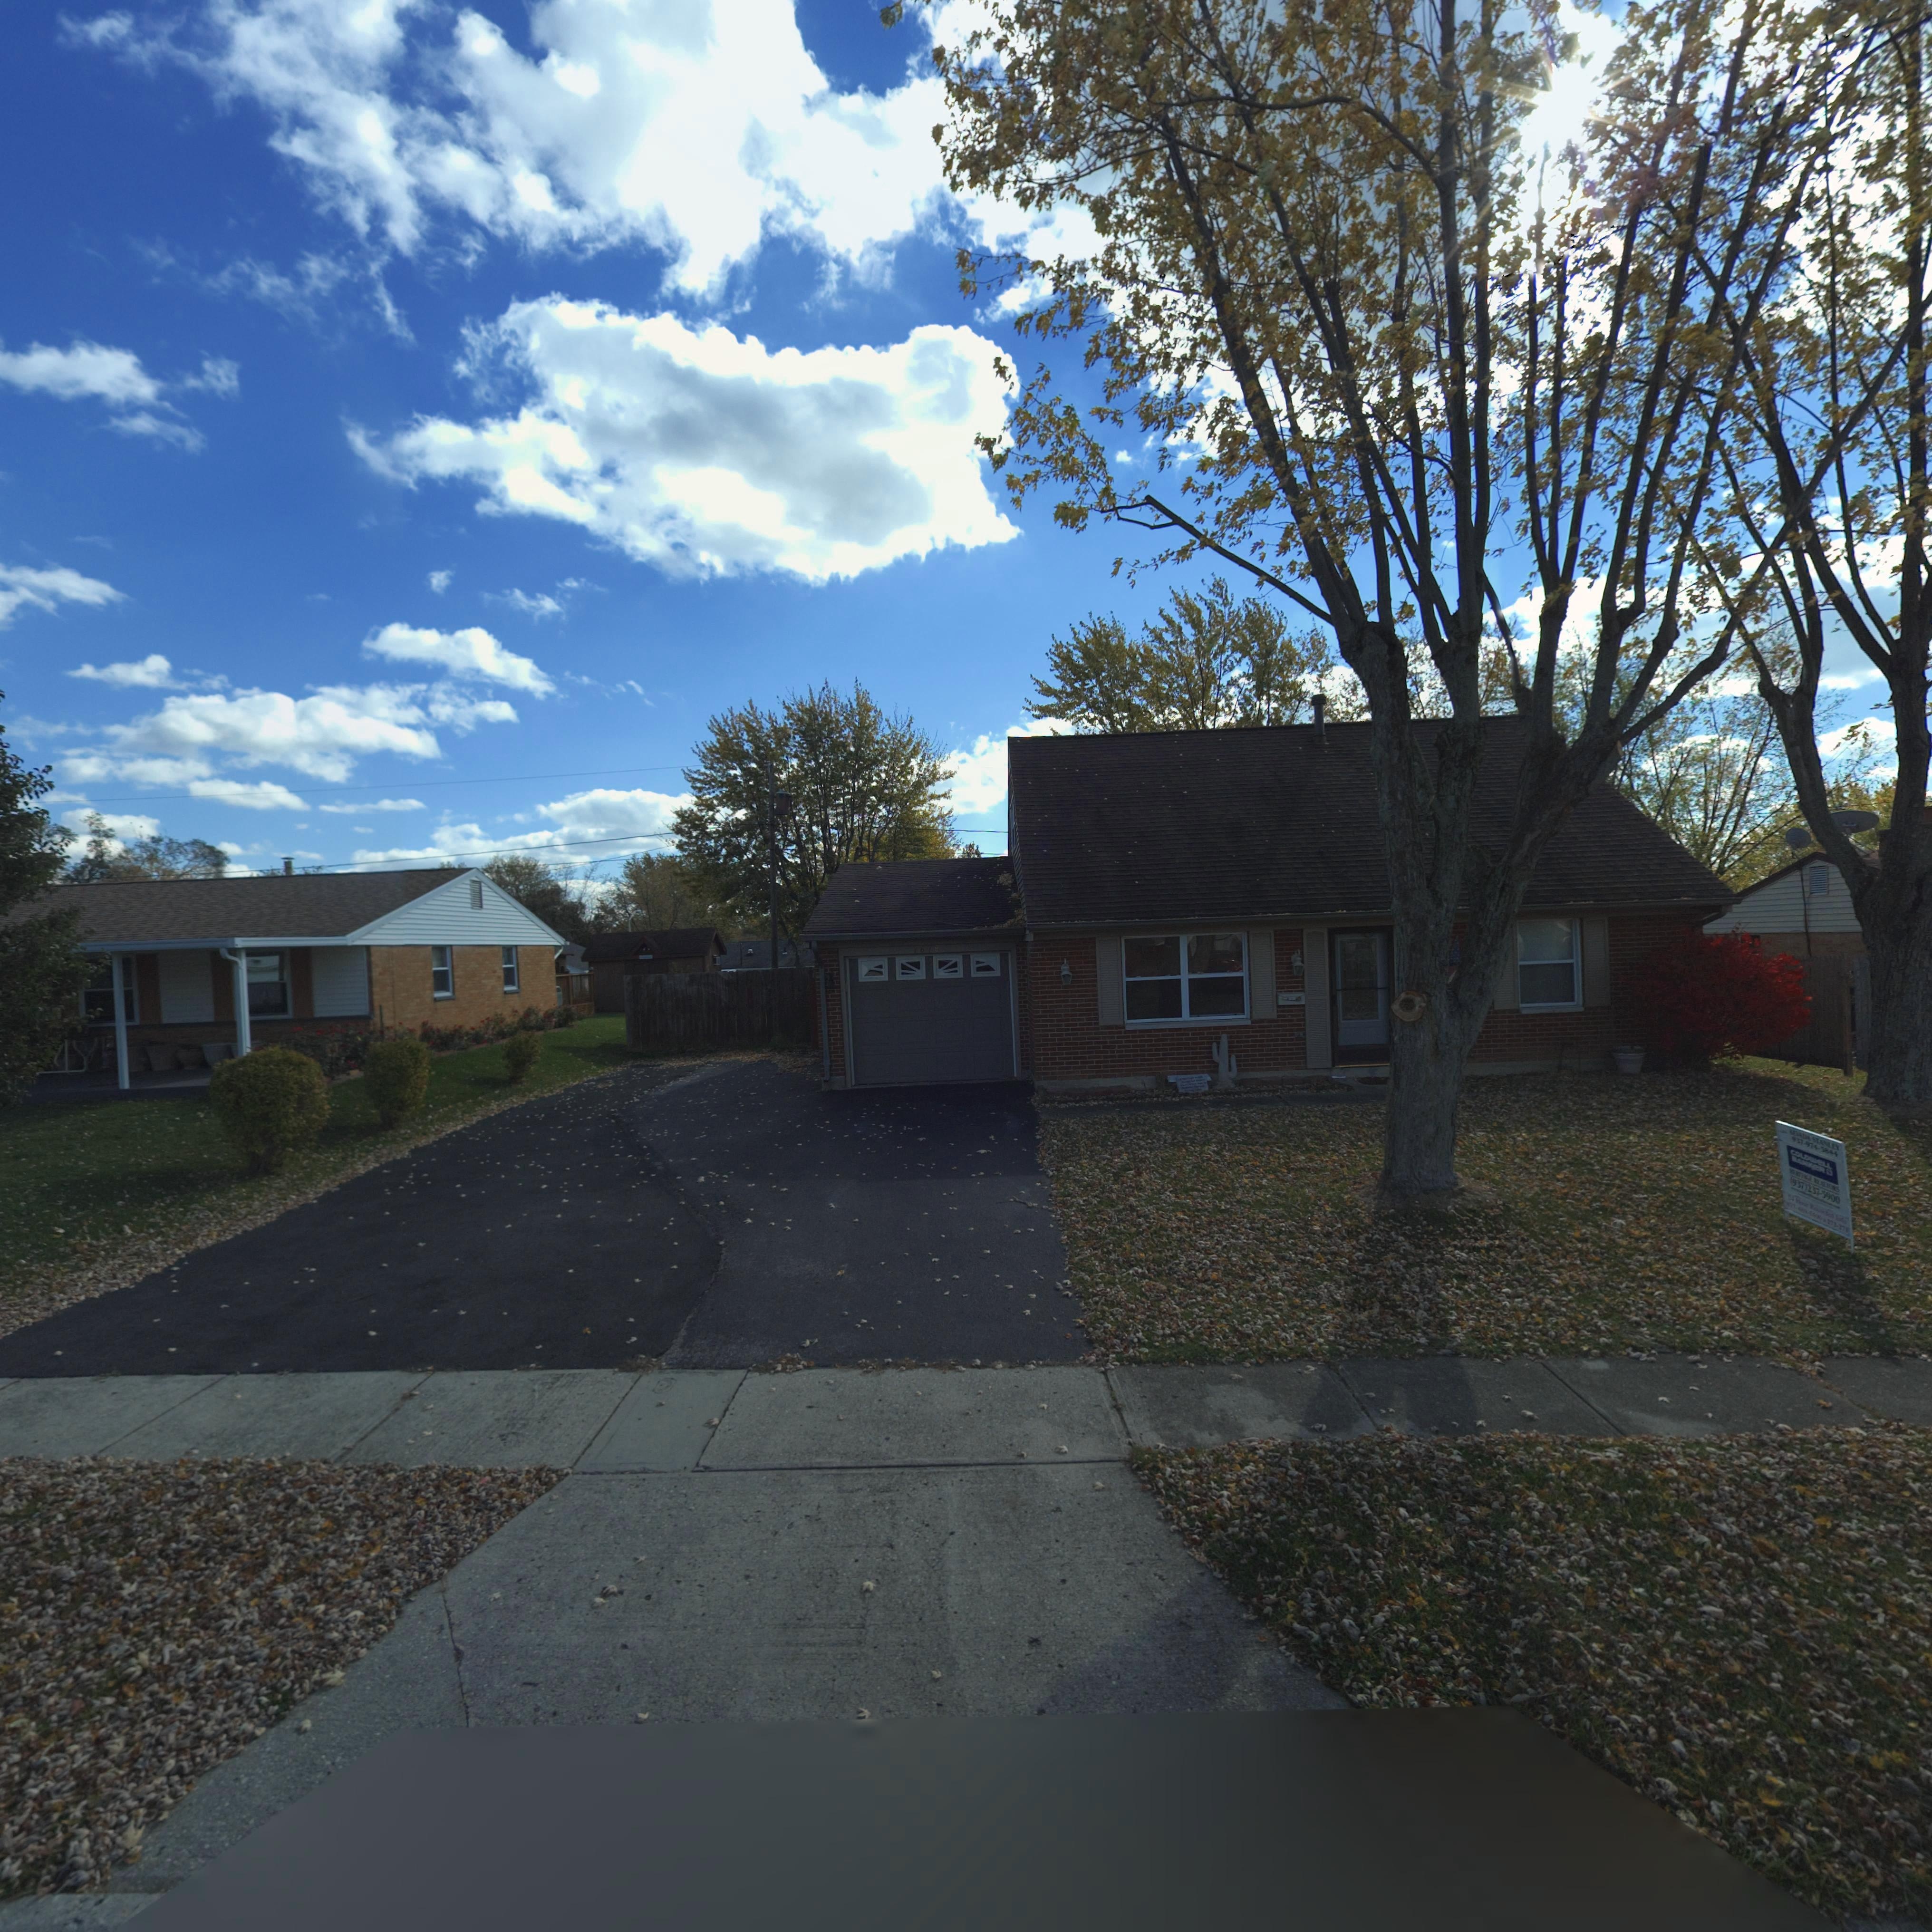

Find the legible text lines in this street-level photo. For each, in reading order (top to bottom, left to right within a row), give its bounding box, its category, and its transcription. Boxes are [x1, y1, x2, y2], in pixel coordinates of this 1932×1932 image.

[911, 944, 940, 953] StreetNumber: 7678